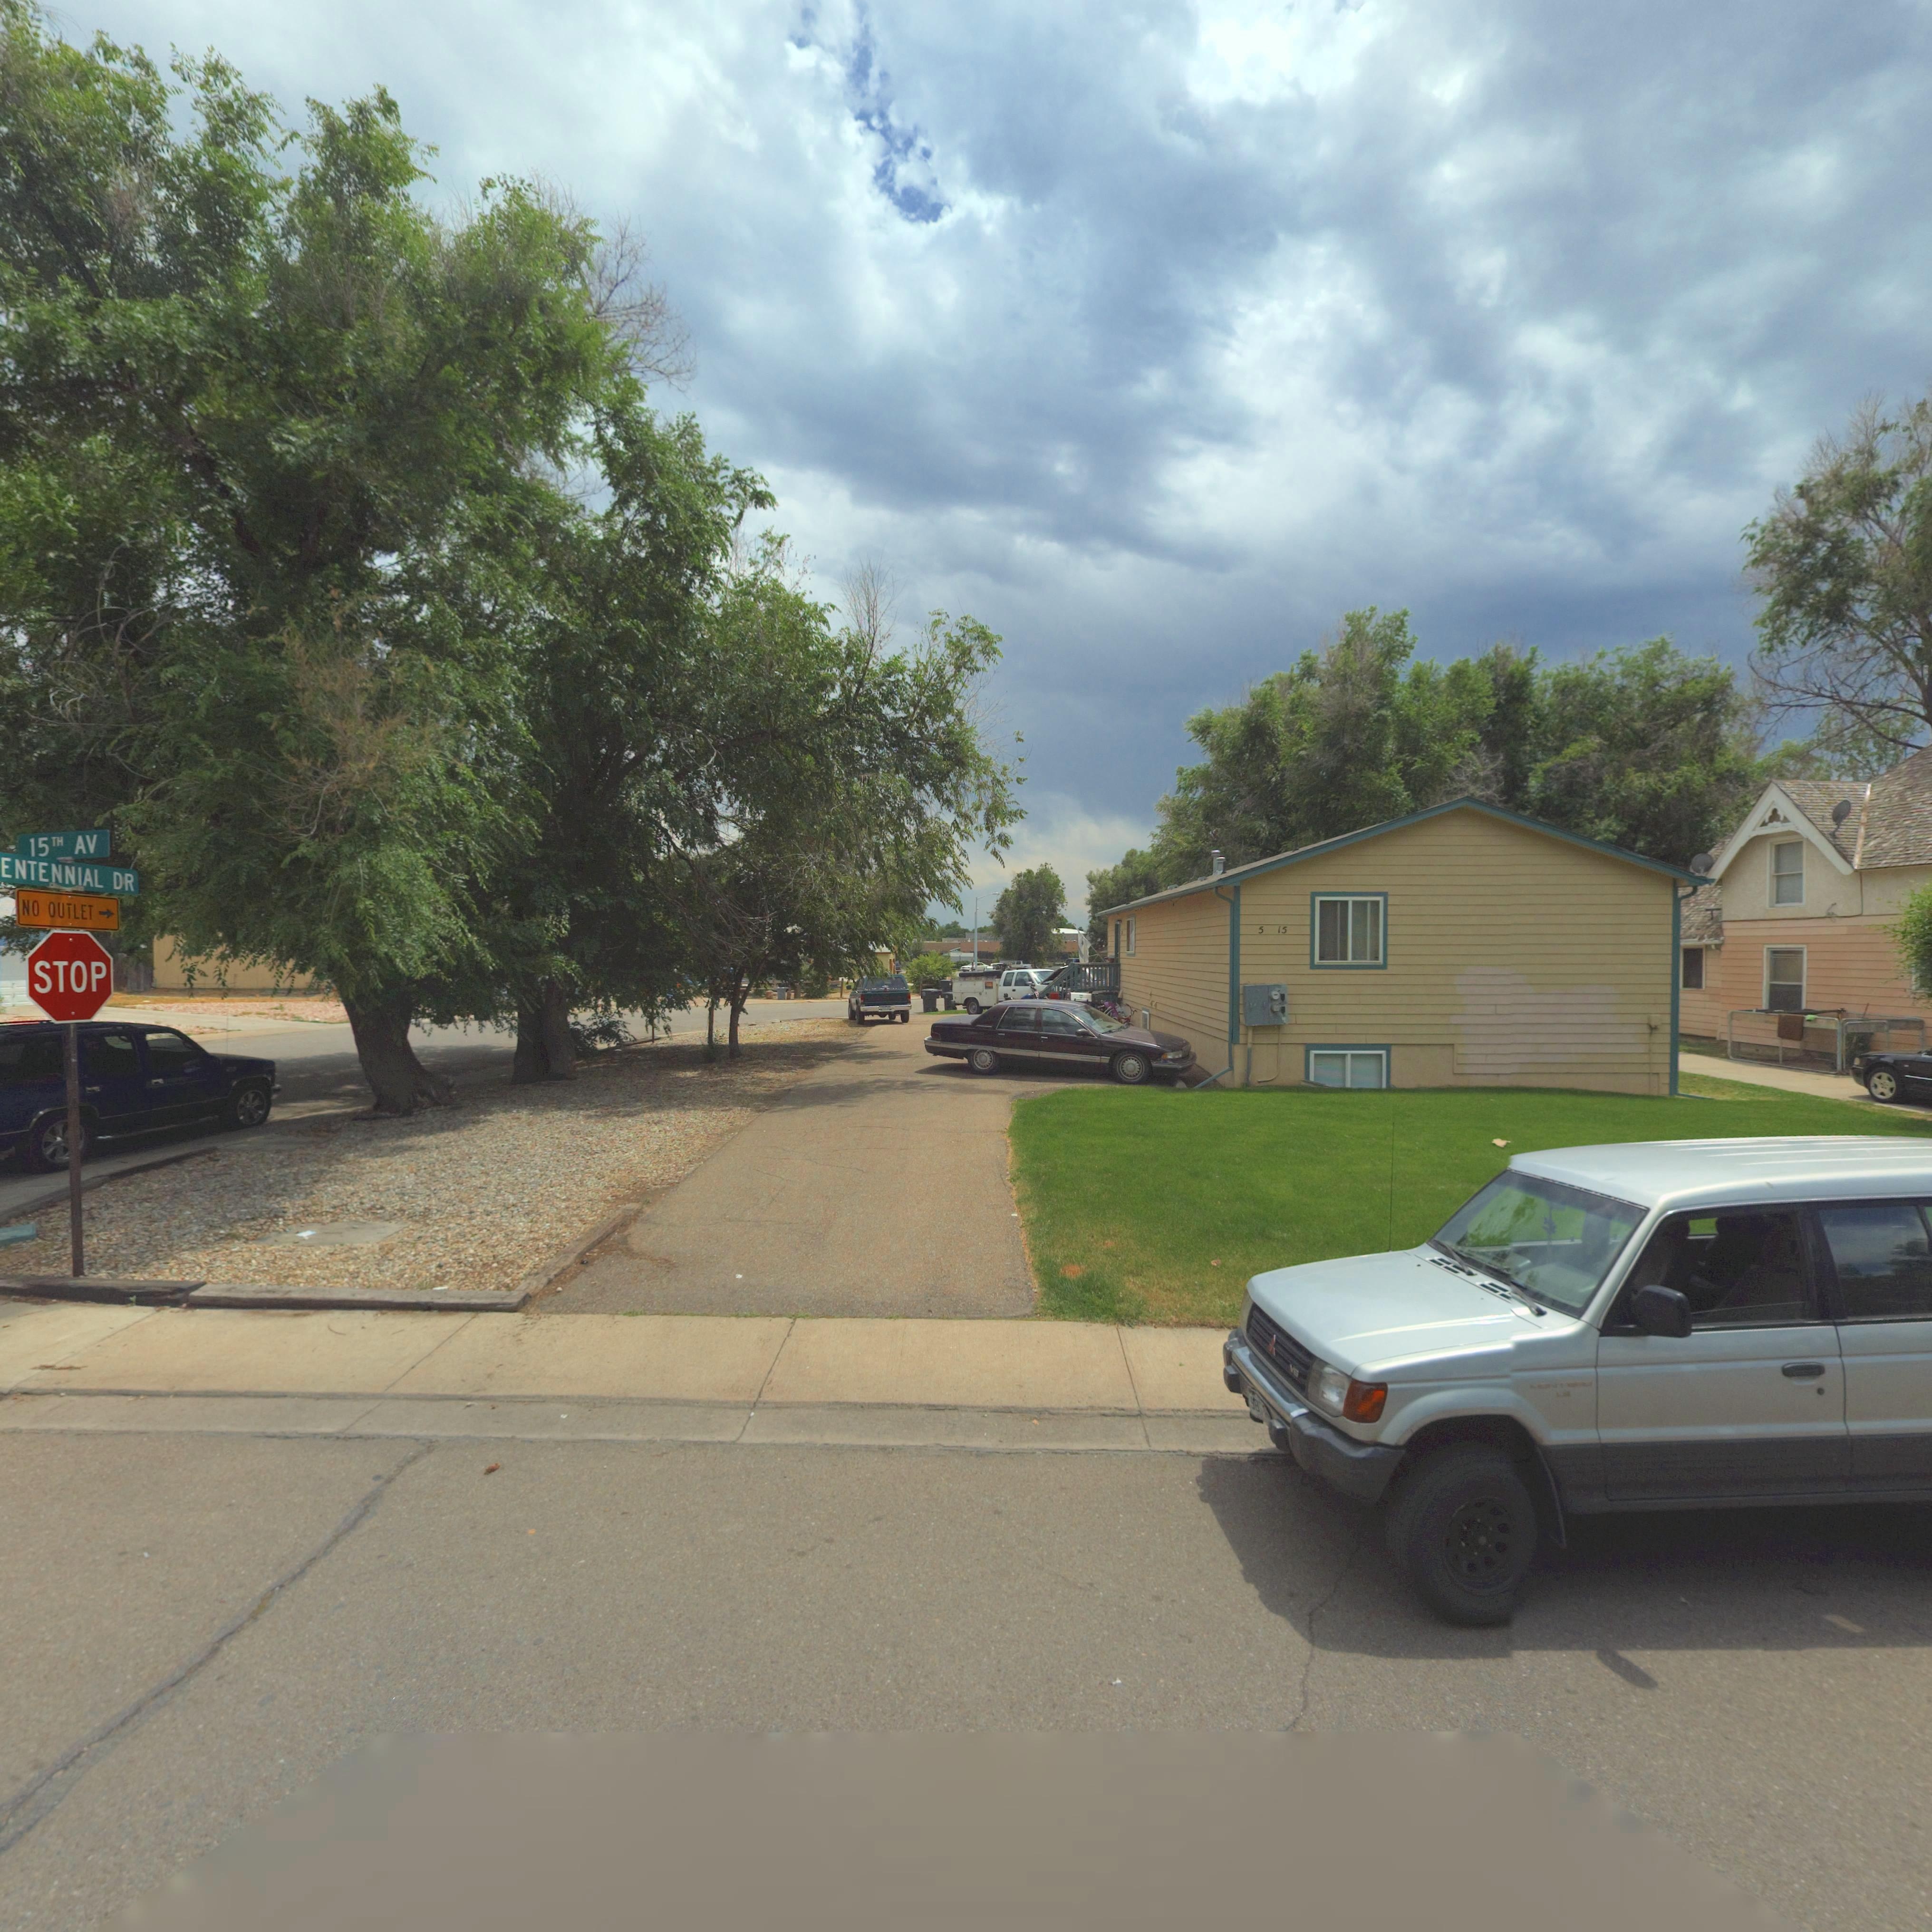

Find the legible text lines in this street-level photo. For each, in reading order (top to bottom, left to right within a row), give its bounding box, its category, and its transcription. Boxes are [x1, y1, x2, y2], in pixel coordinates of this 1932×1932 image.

[0, 856, 135, 891] BusinessName: ENTENNIAL DR
[1257, 925, 1287, 935] StreetNumber: 5 15